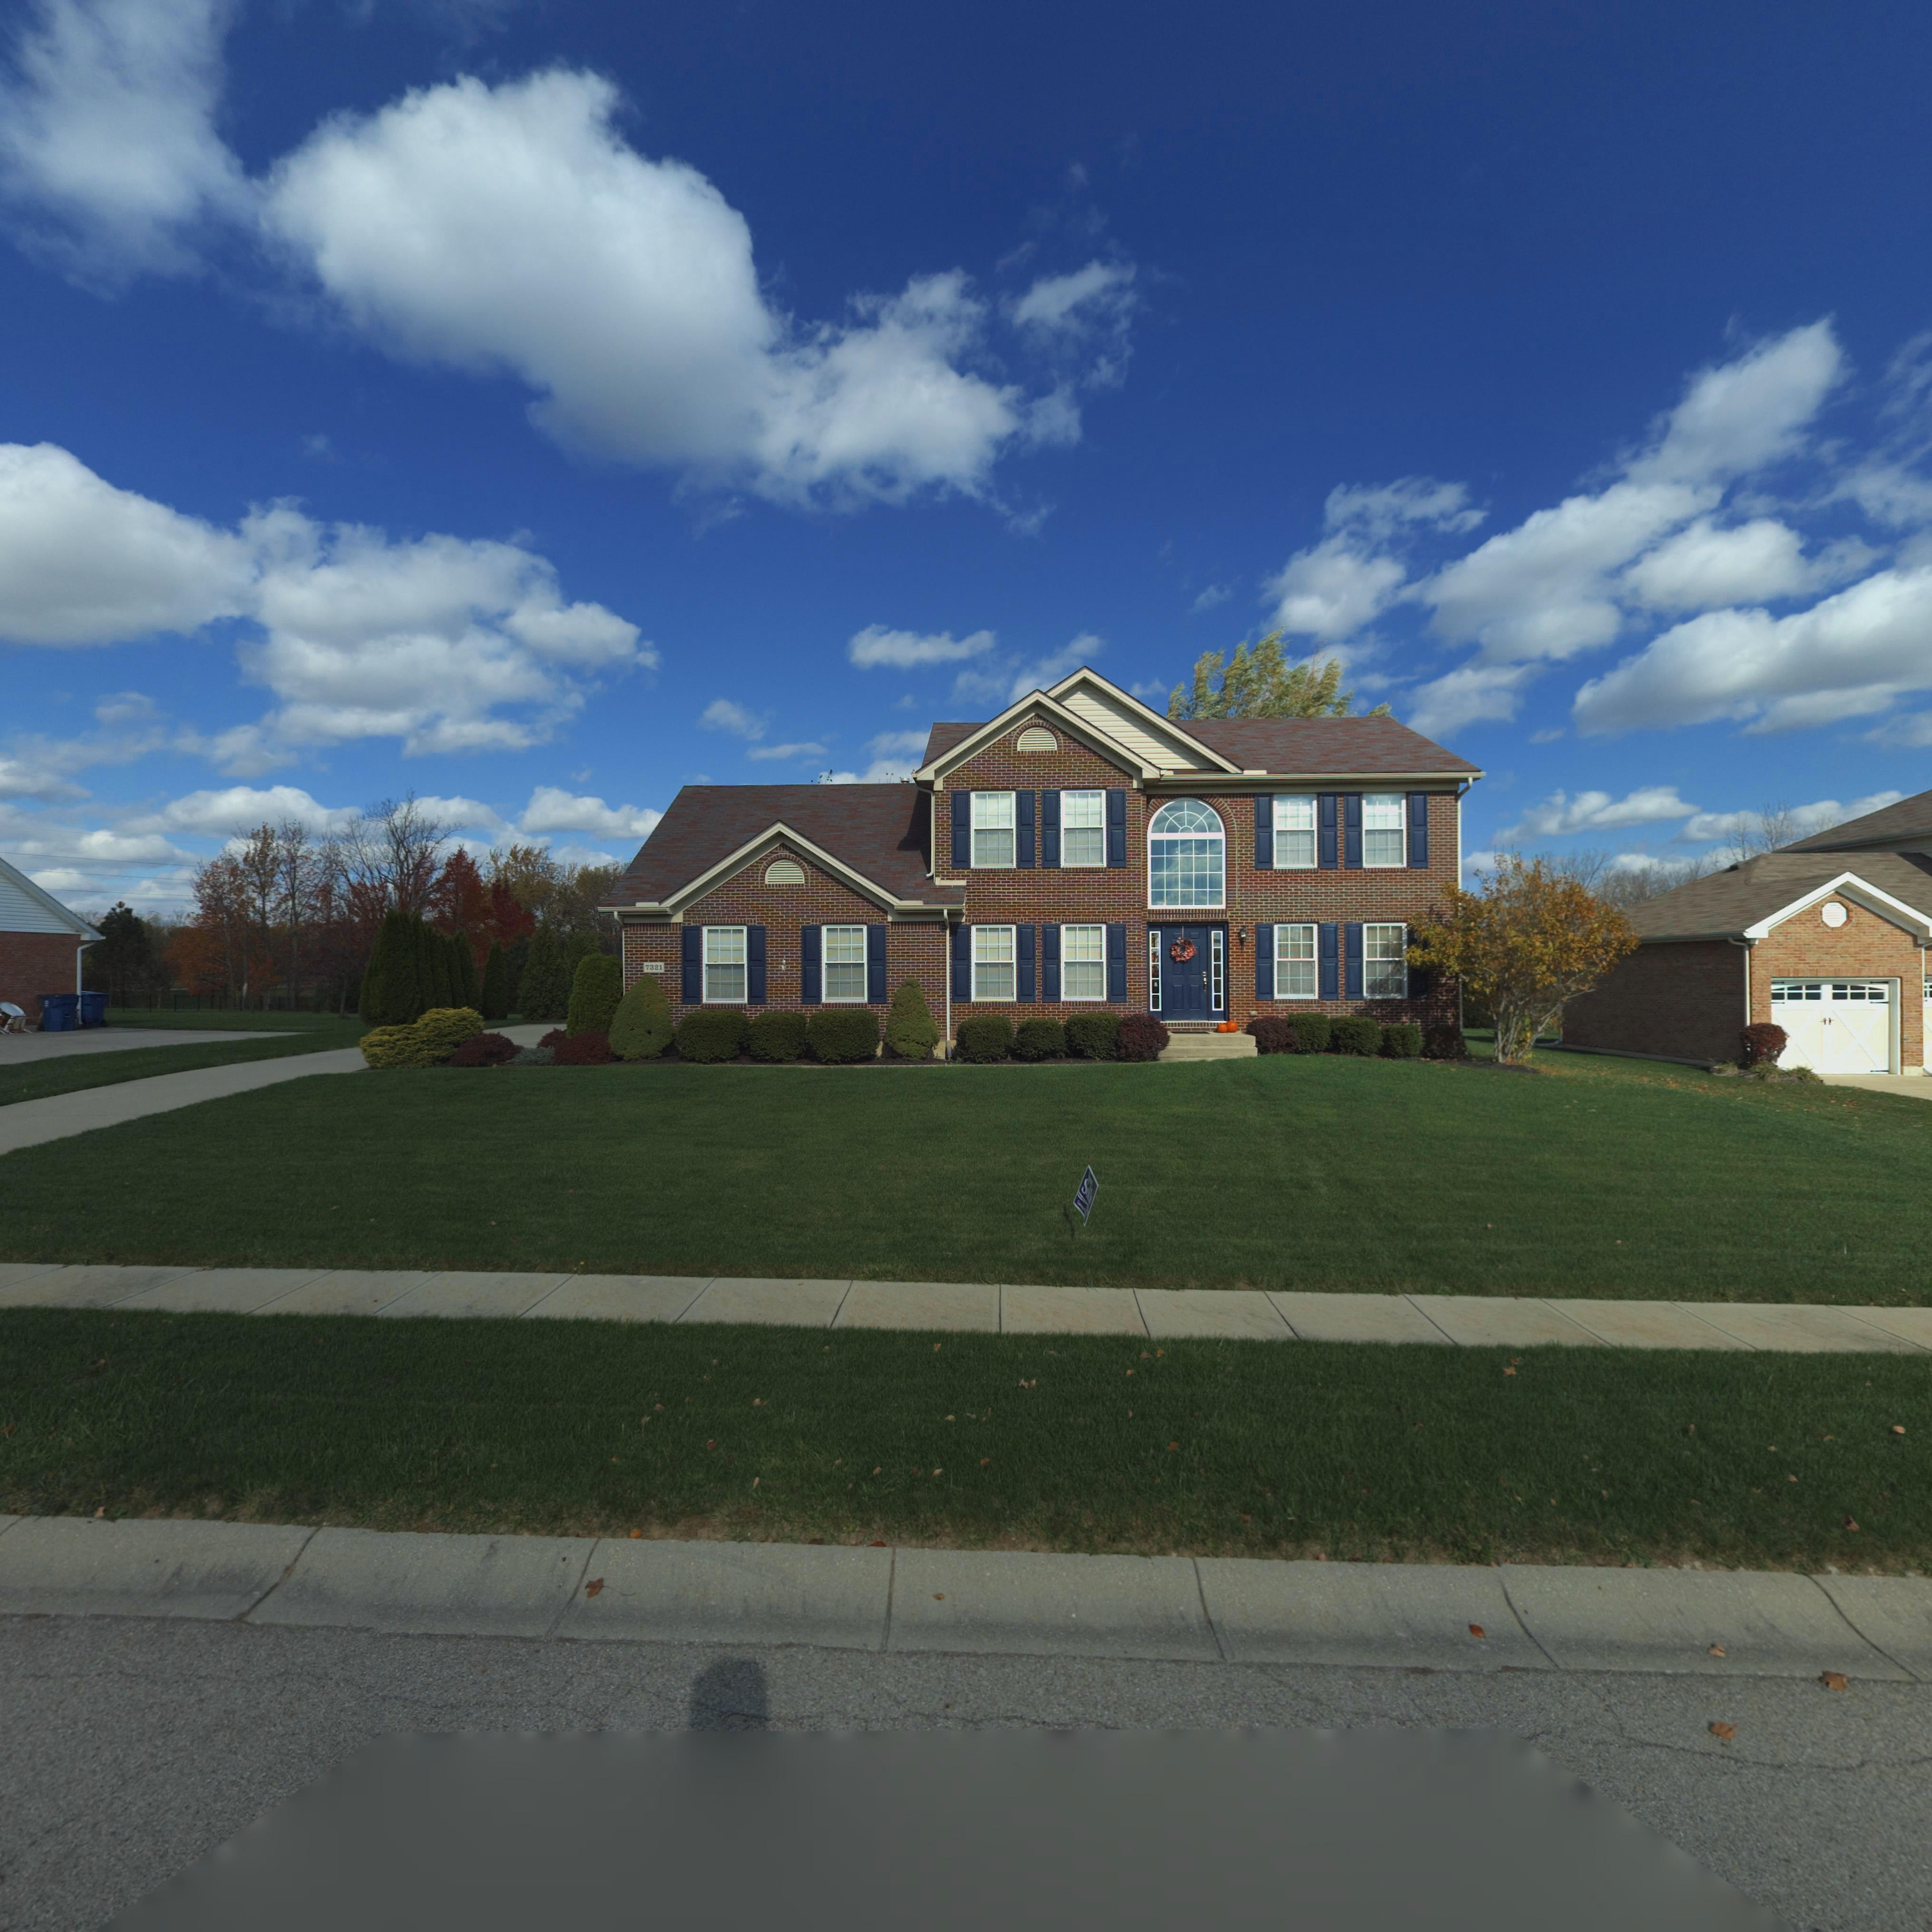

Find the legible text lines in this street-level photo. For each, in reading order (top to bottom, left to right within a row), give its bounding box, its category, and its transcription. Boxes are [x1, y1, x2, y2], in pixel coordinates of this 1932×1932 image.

[645, 964, 663, 971] StreetNumber: 7321